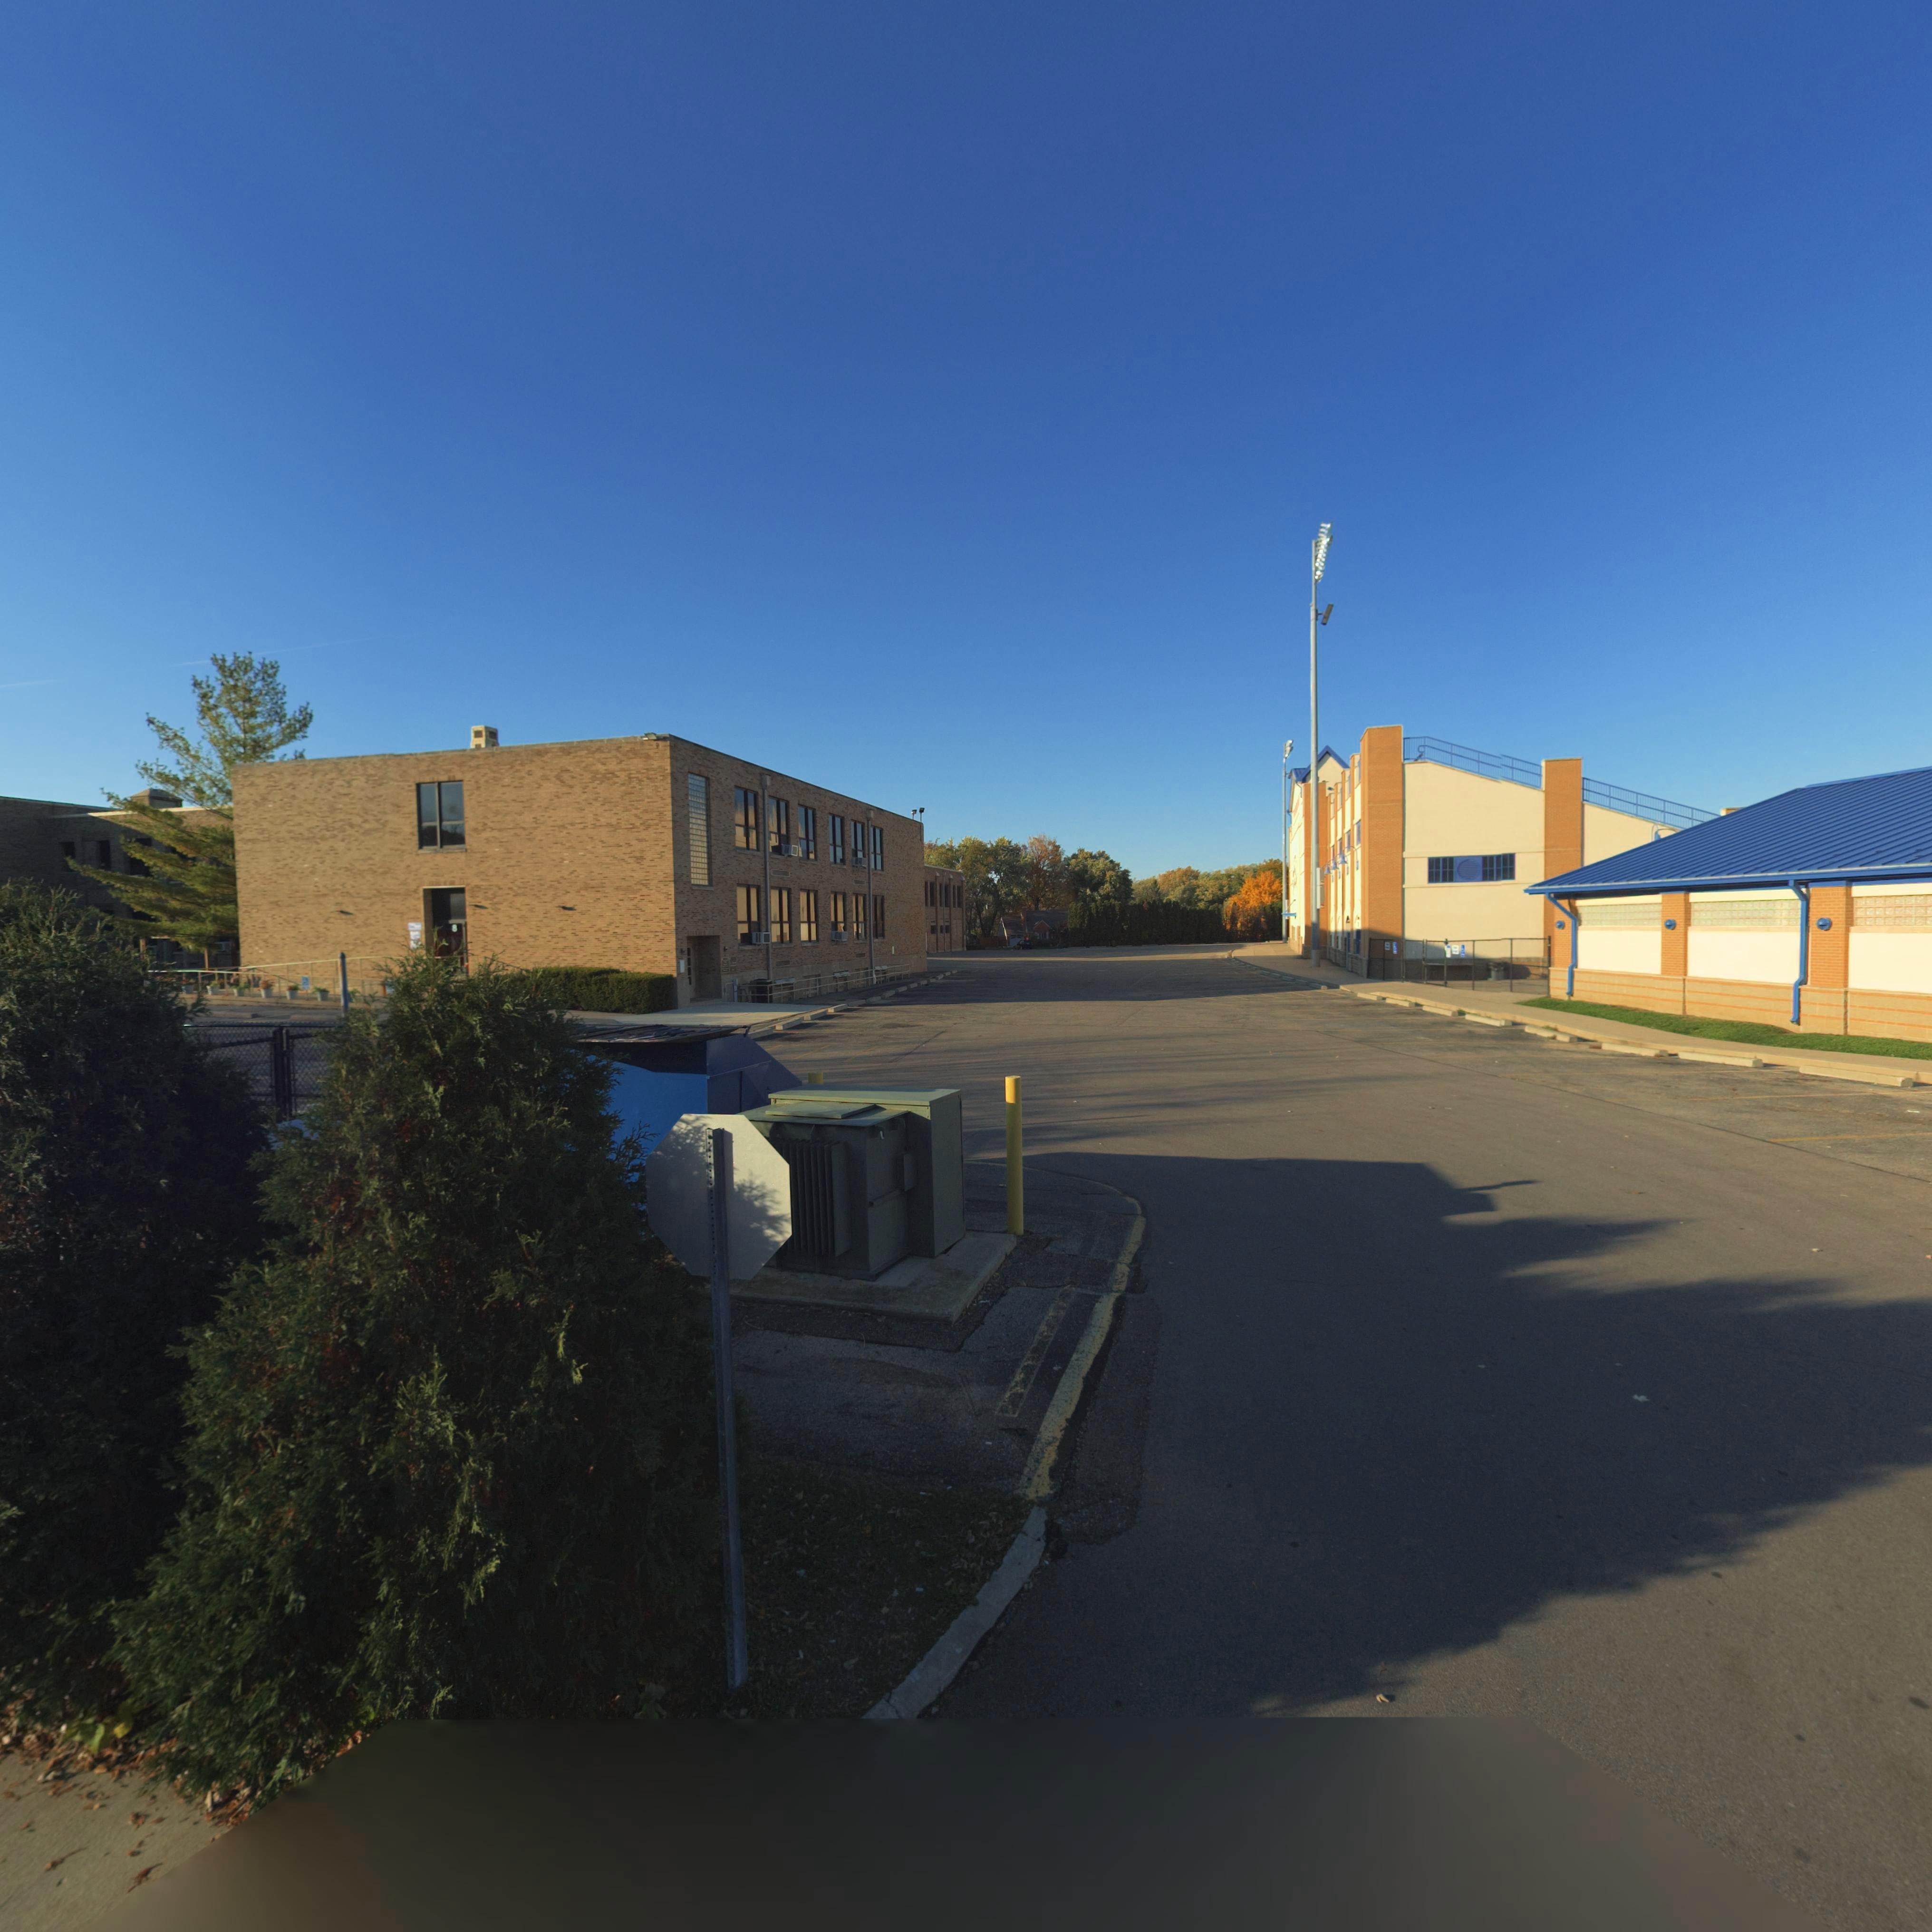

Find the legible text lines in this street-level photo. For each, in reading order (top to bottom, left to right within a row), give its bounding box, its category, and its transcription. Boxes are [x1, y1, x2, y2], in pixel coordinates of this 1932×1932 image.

[451, 924, 458, 932] StreetNumber: 8